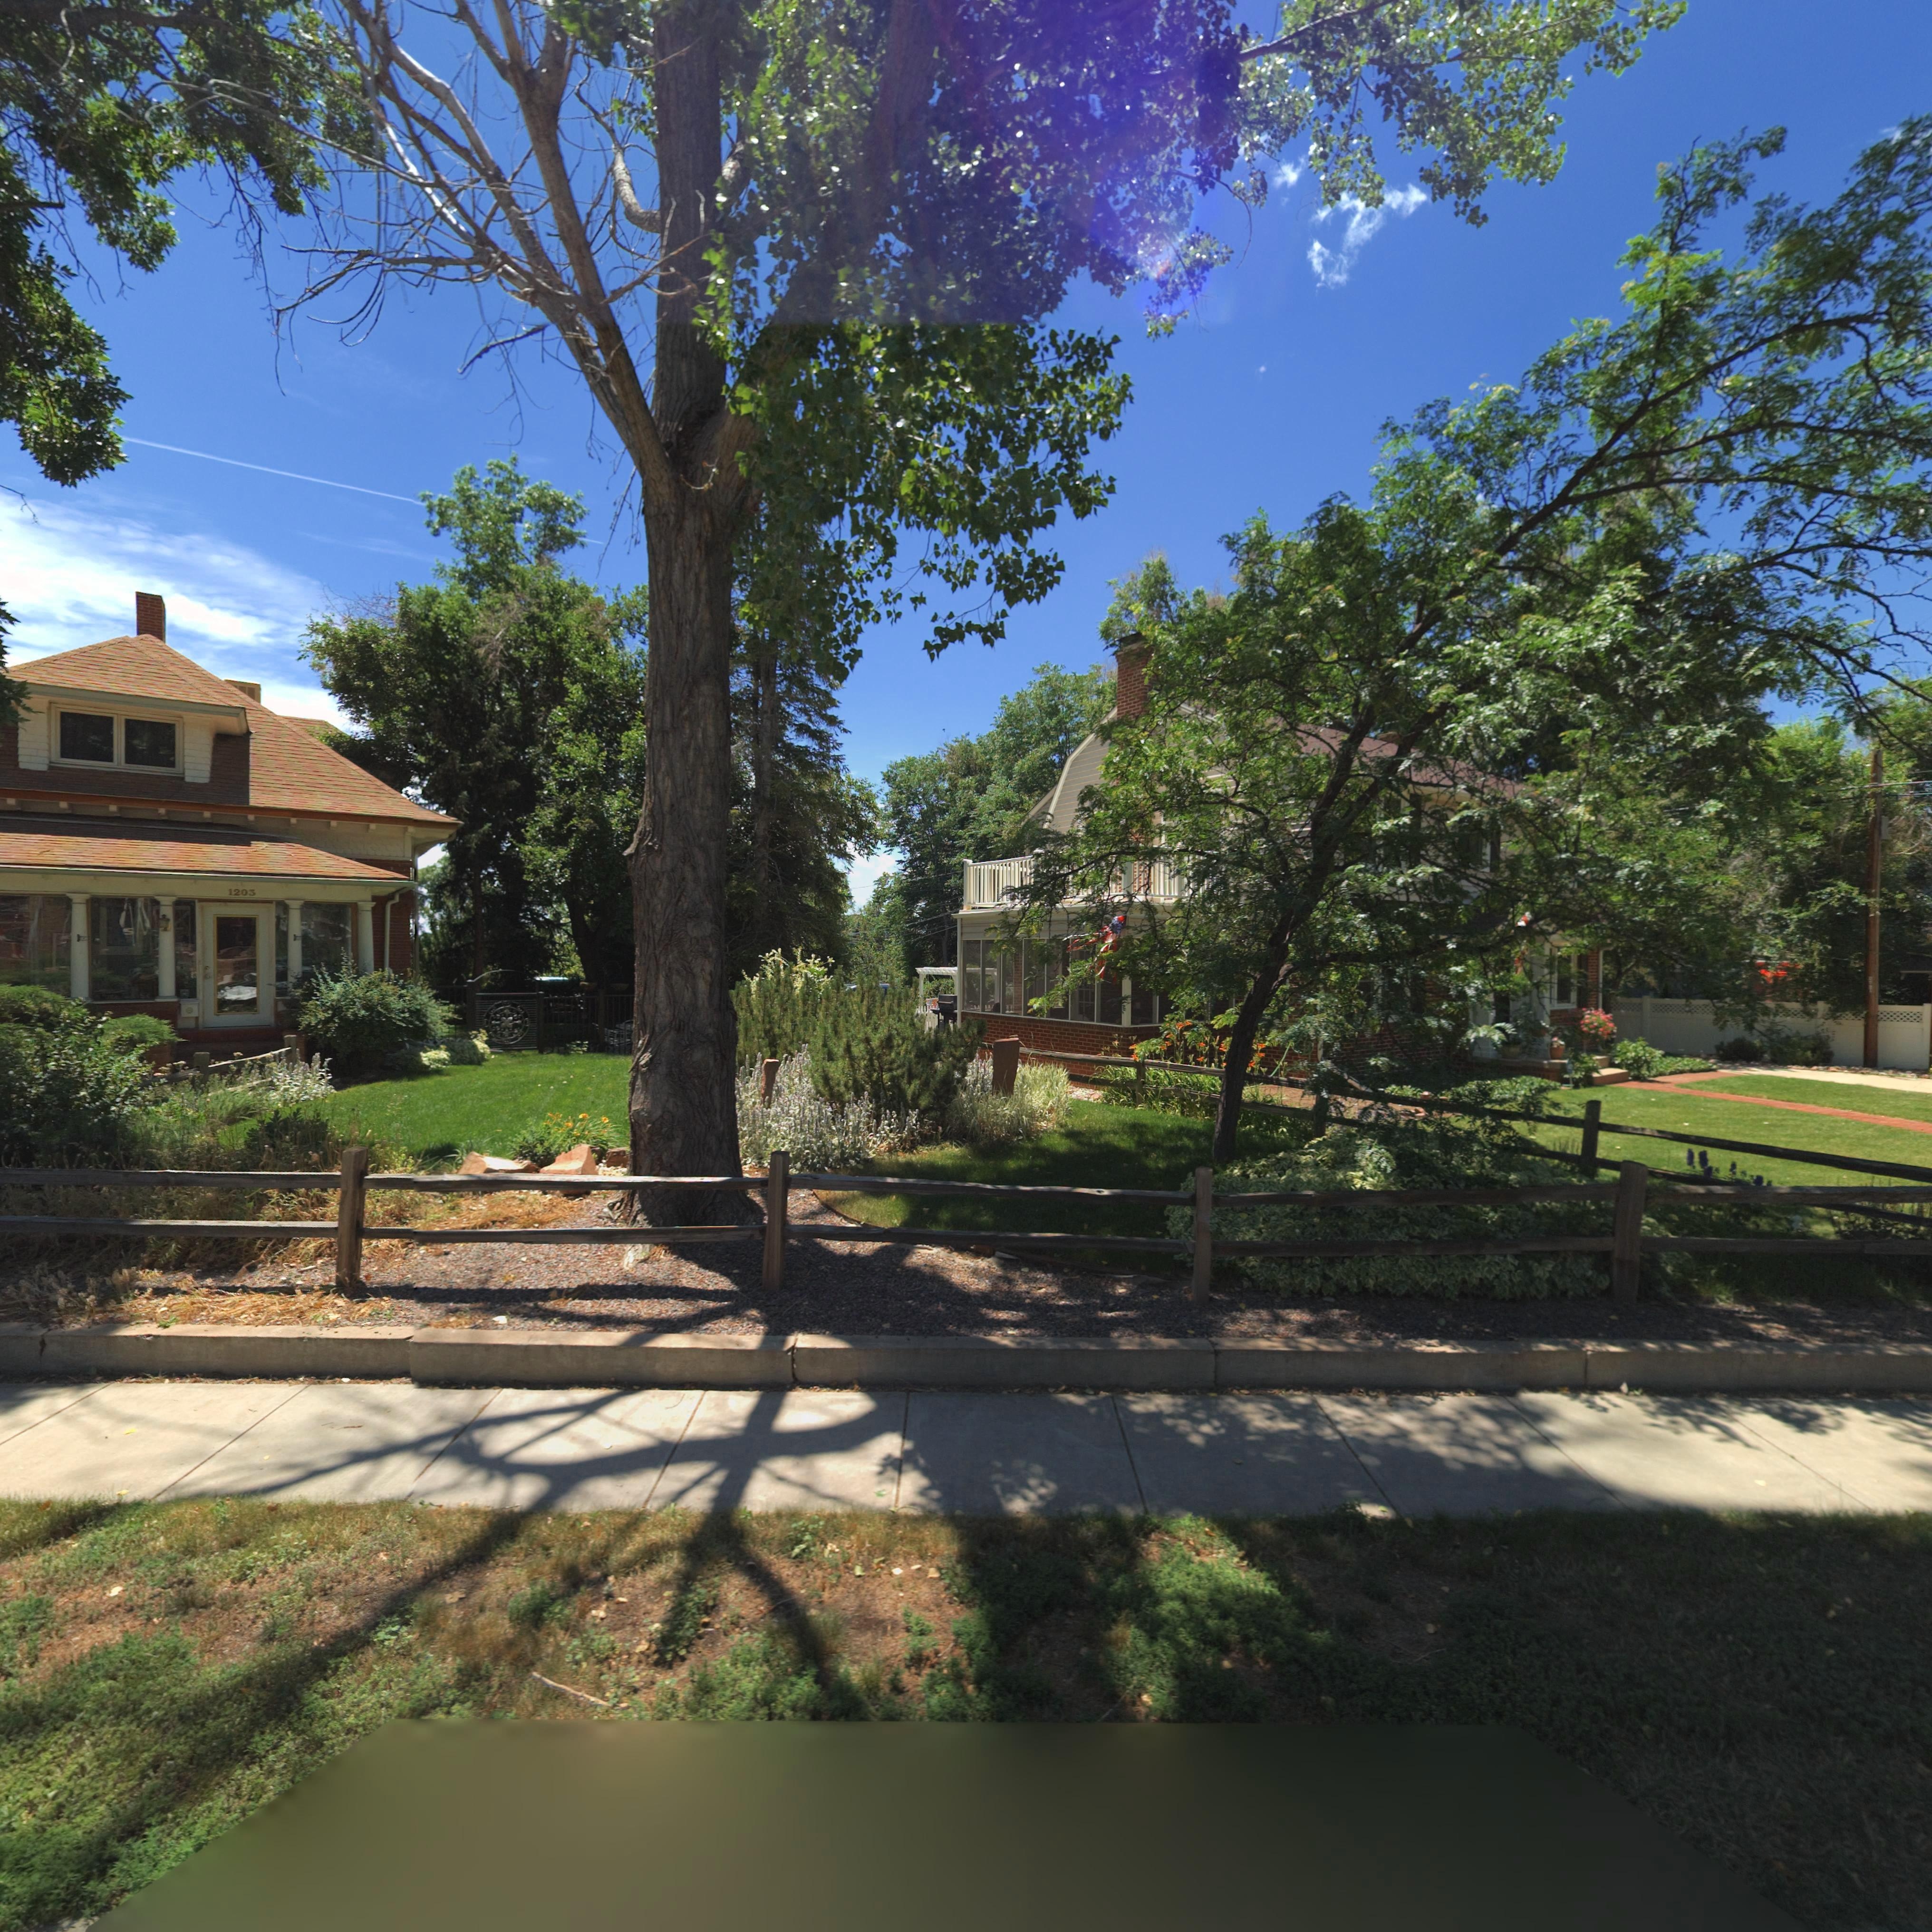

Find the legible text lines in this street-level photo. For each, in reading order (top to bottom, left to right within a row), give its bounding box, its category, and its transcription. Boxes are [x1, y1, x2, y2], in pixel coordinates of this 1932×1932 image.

[228, 889, 257, 896] StreetNumber: 1203